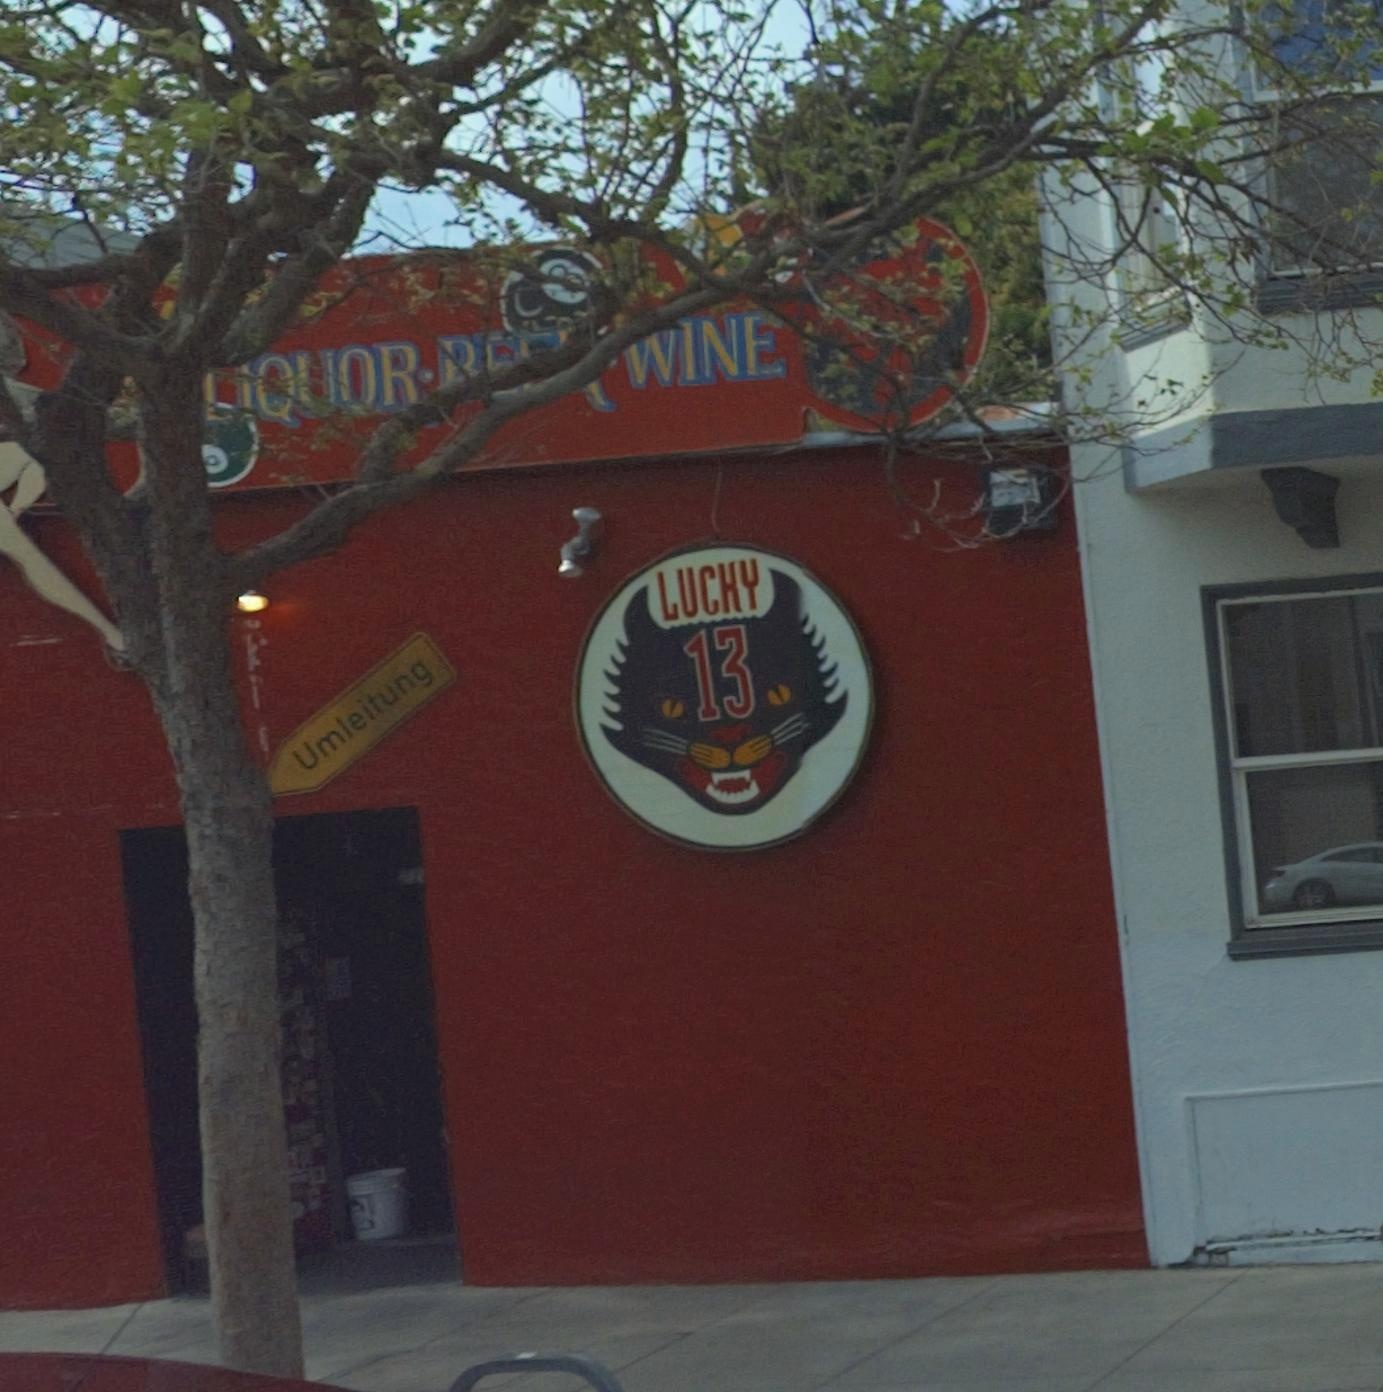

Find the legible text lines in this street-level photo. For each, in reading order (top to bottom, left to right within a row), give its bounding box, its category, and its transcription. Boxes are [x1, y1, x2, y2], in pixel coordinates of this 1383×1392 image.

[376, 339, 427, 411] None: R
[678, 314, 743, 384] None: IN
[651, 554, 764, 627] BusinessName: LUCKY
[681, 623, 759, 725] BusinessName: 13
[288, 657, 437, 773] None: Umlei*ung